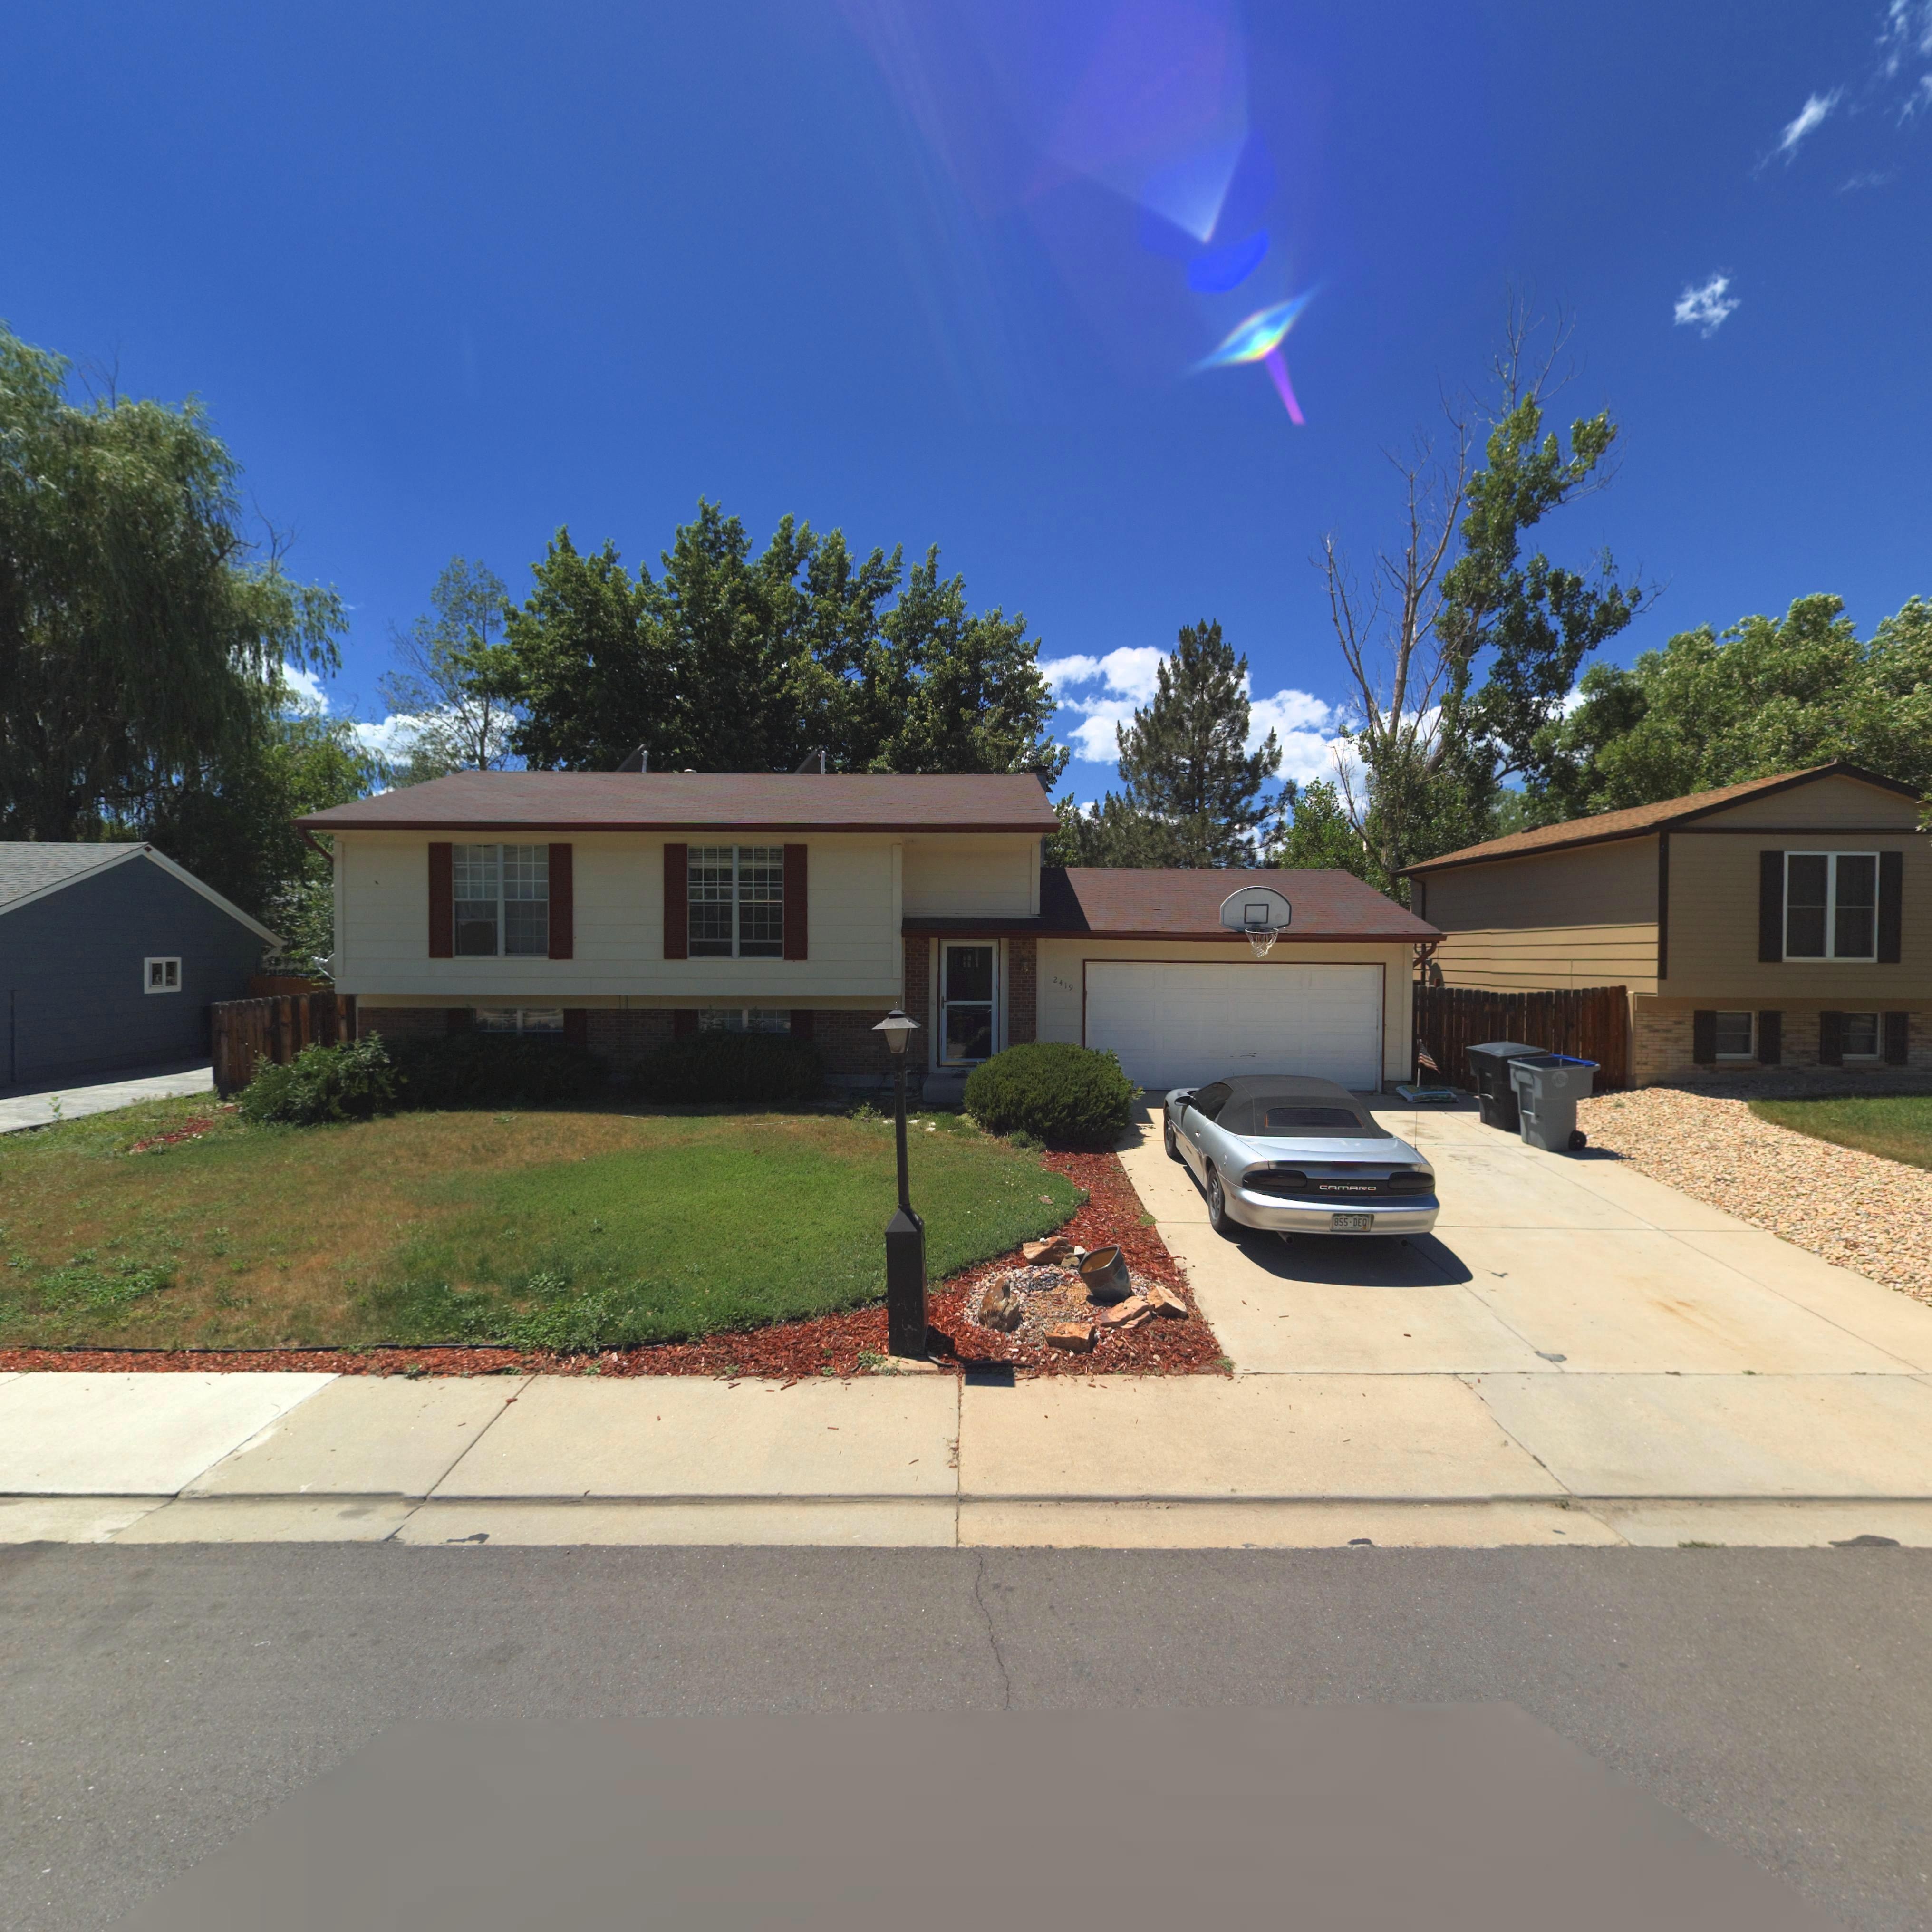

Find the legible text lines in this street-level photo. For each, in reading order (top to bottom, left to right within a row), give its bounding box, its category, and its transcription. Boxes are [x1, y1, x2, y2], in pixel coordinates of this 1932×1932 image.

[1053, 976, 1073, 992] StreetNumber: 2419